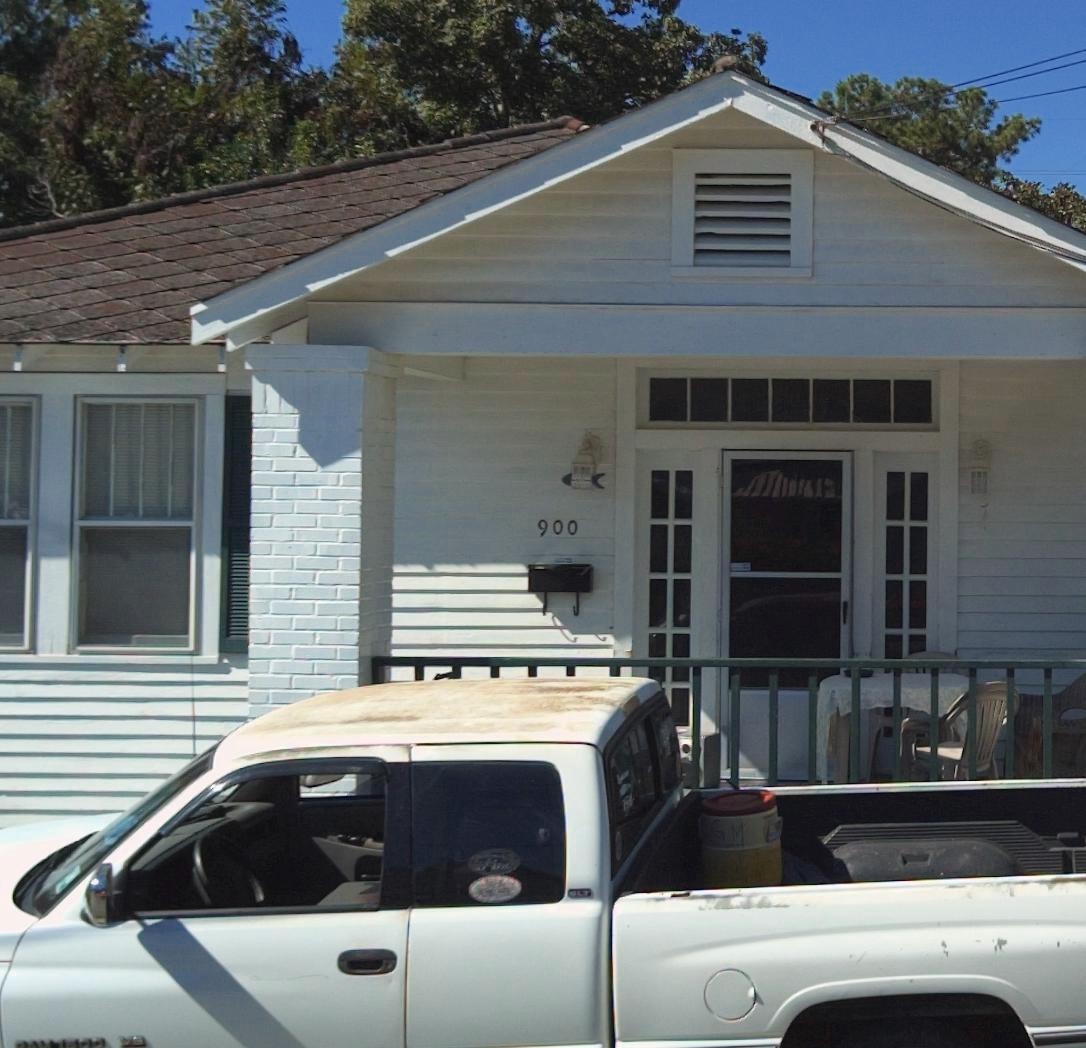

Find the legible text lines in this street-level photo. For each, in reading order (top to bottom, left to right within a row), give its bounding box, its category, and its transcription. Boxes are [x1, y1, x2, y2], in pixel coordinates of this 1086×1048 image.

[536, 517, 580, 538] StreetNumber: 900